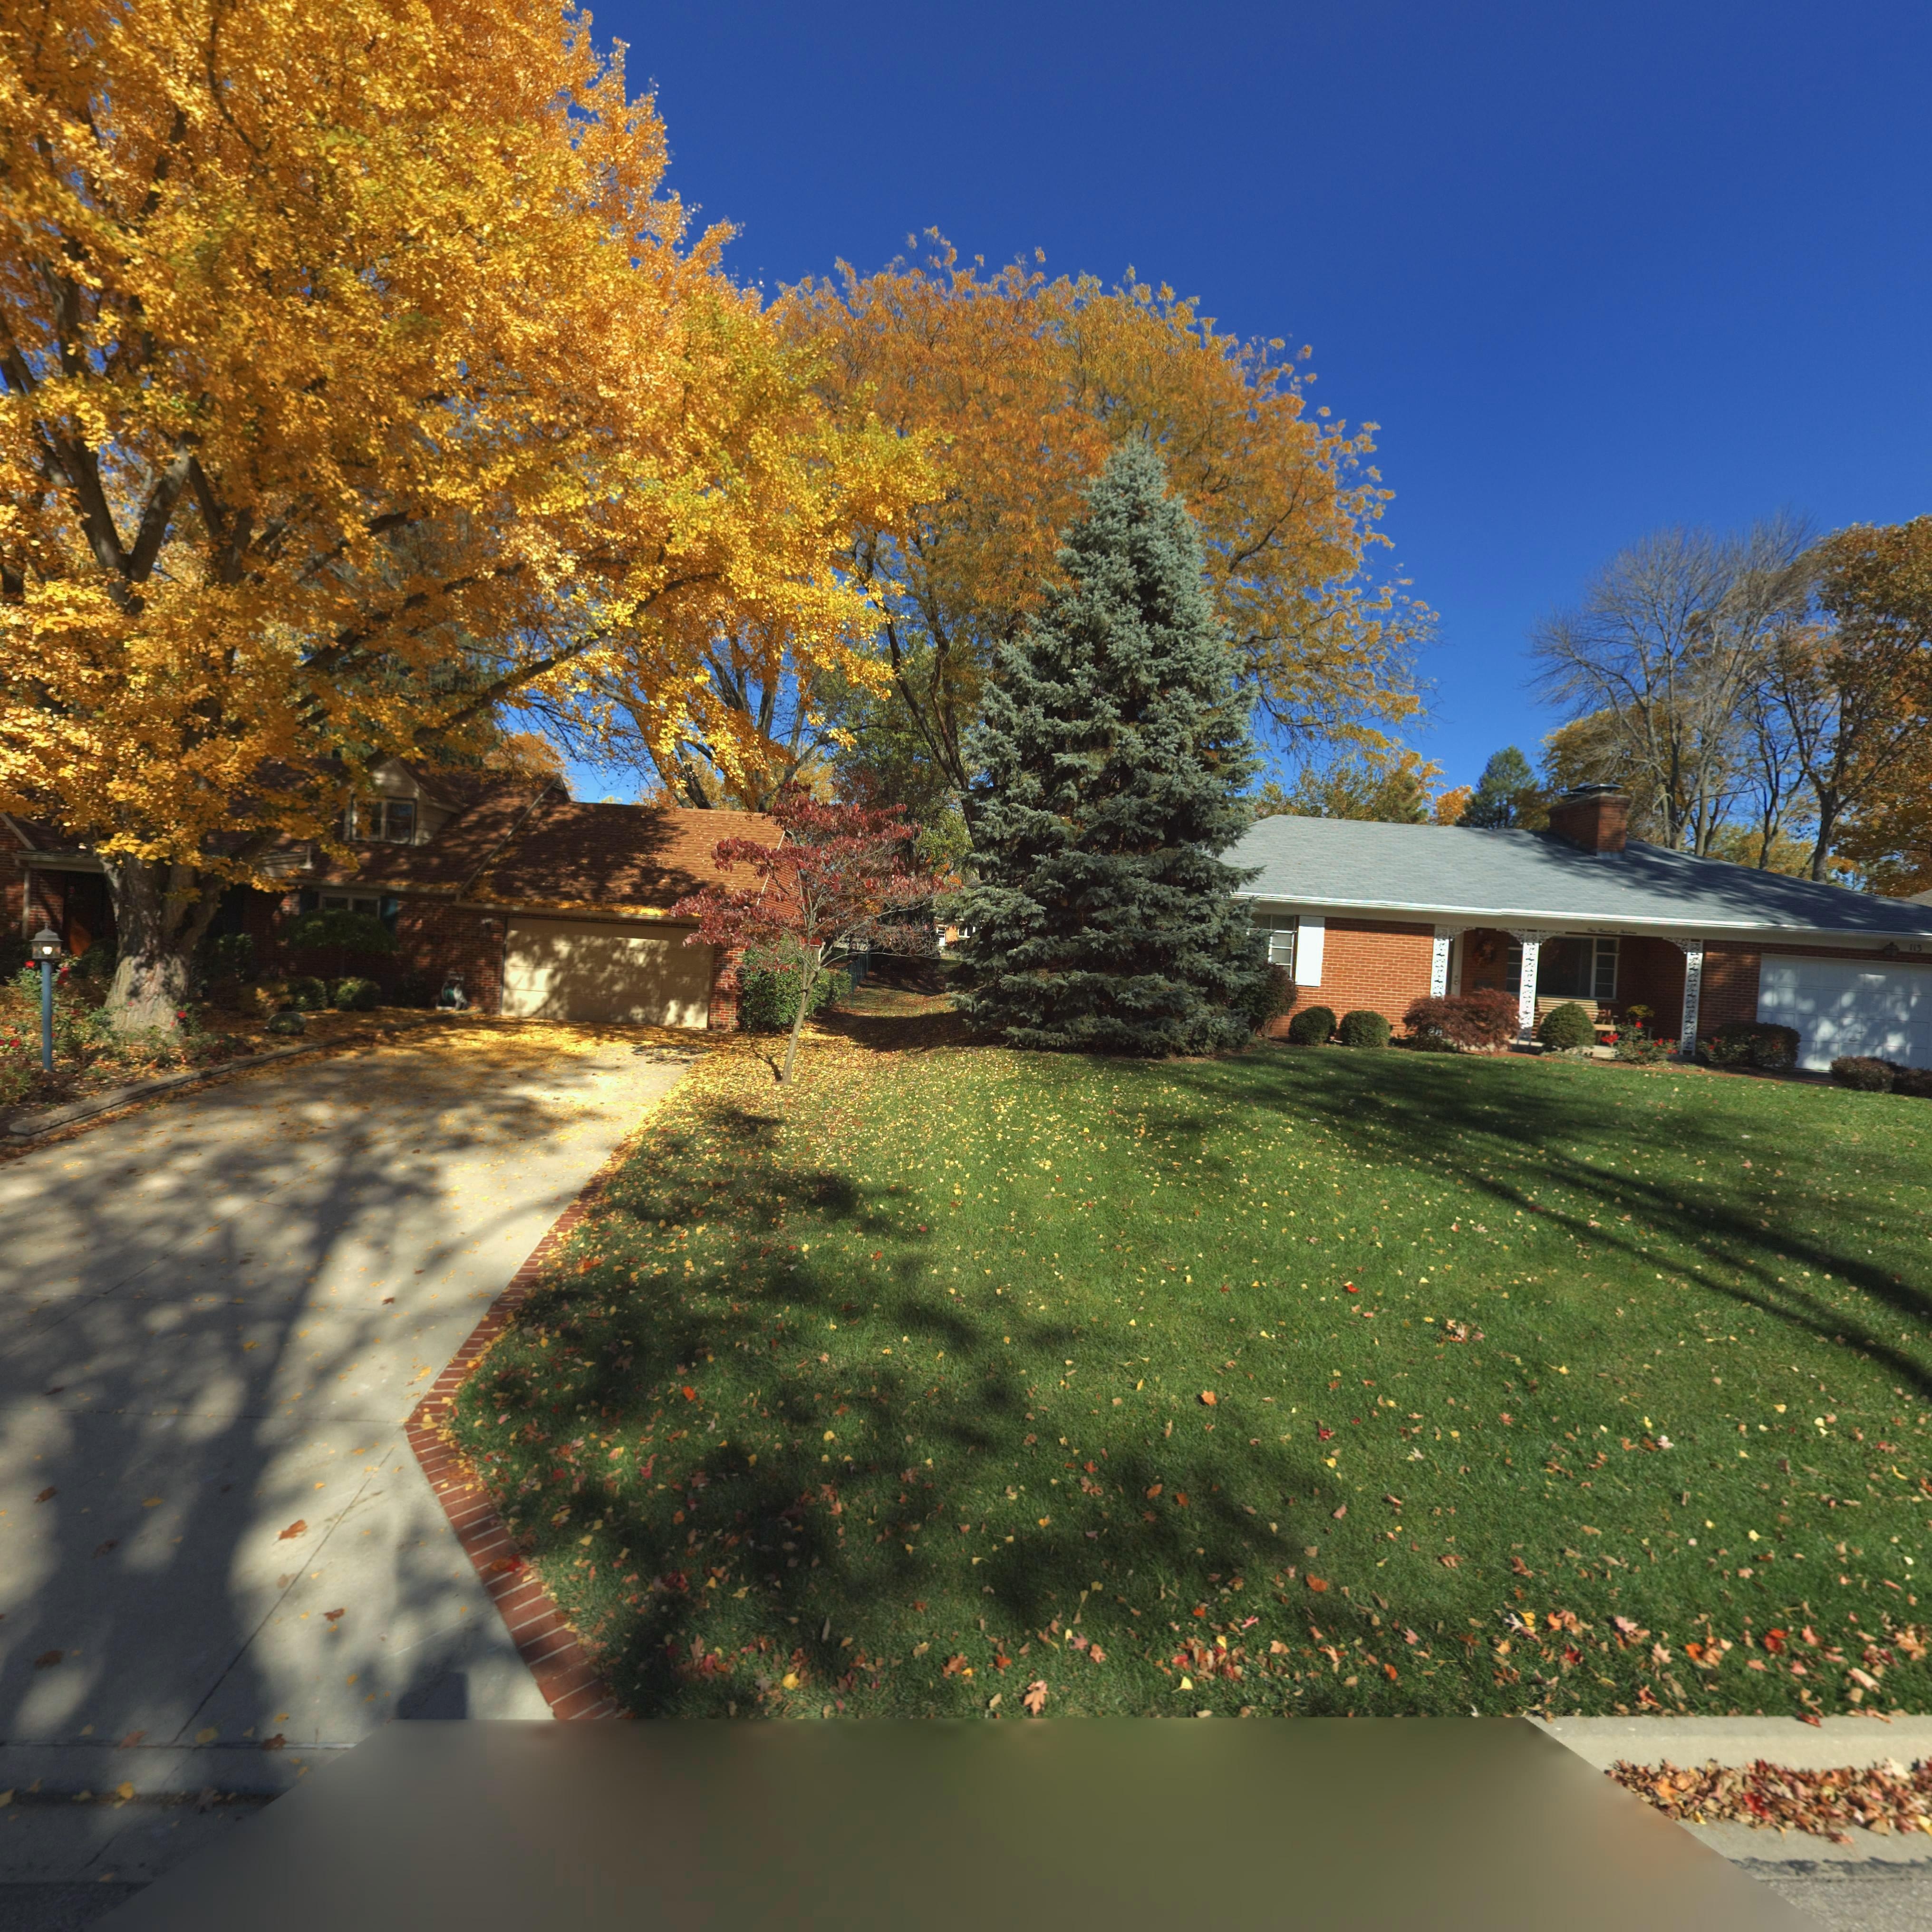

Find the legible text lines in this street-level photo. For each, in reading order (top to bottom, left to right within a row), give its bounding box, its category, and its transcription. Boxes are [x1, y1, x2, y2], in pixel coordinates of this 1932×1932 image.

[1586, 927, 1604, 933] StreetNumber: One H
[1909, 943, 1923, 953] StreetNumber: 113